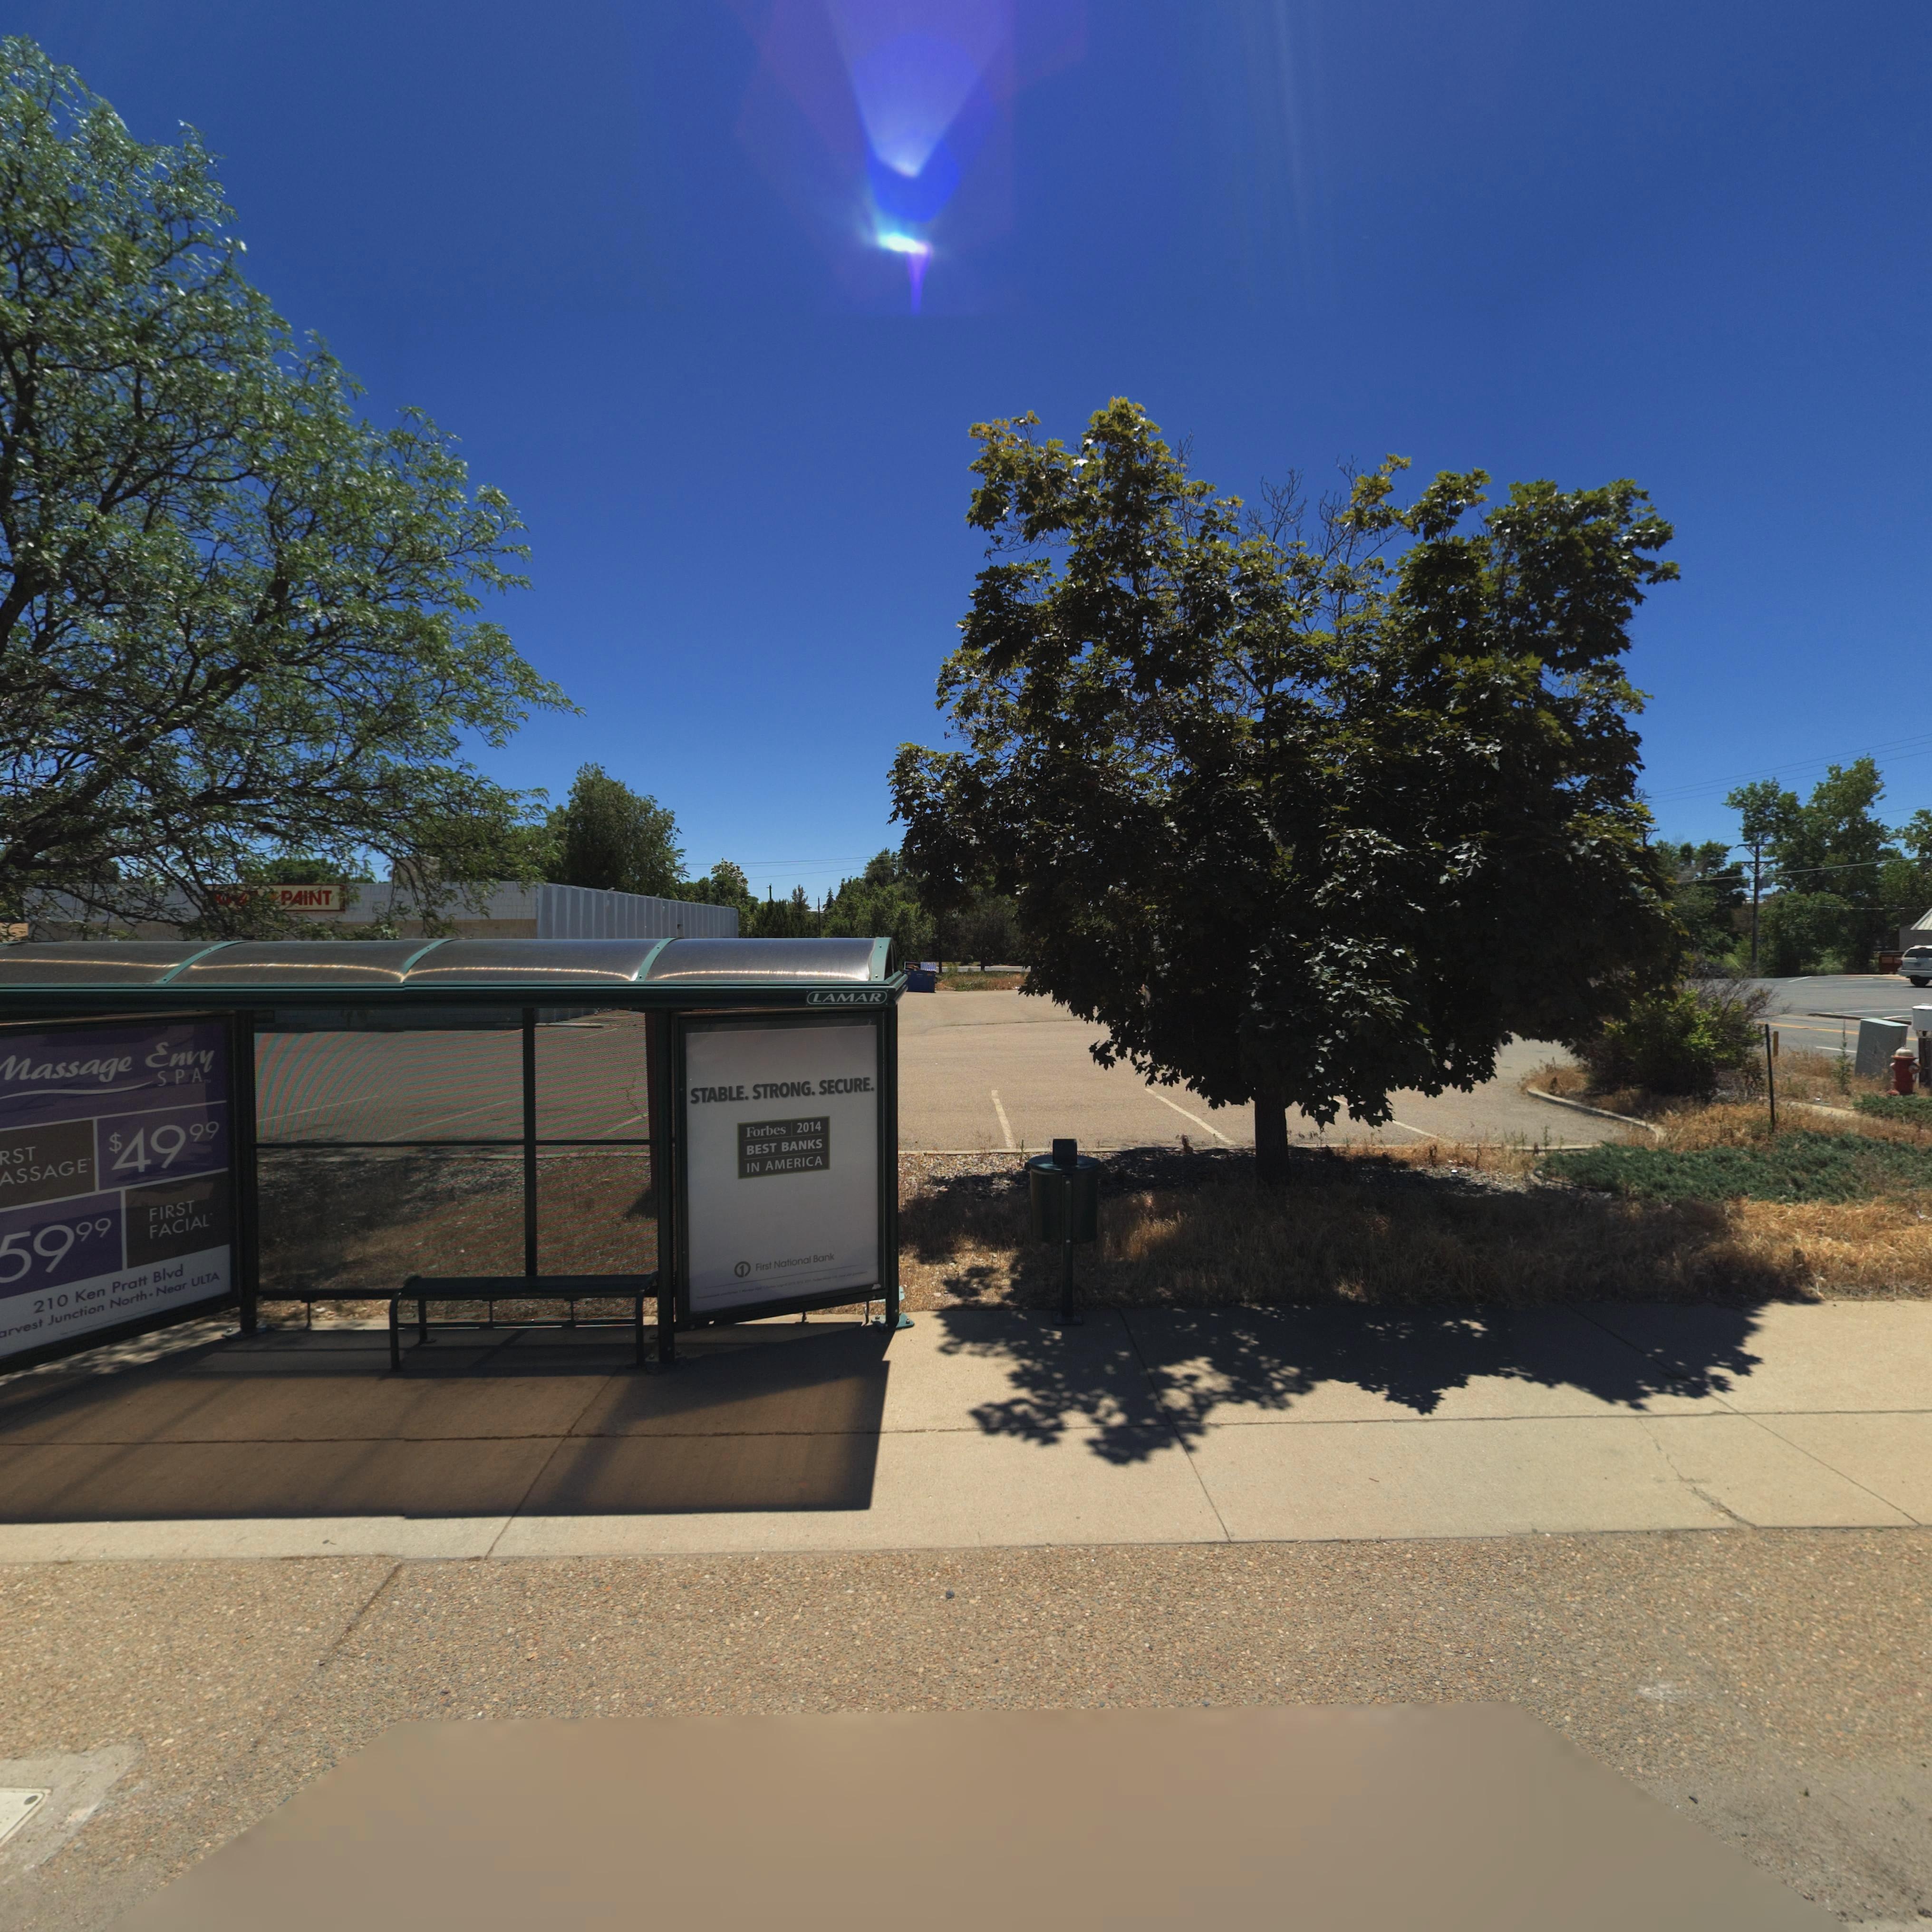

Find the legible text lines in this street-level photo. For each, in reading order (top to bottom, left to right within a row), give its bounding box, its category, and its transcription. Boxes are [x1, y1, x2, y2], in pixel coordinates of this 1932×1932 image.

[280, 889, 333, 907] BusinessName: PAINT